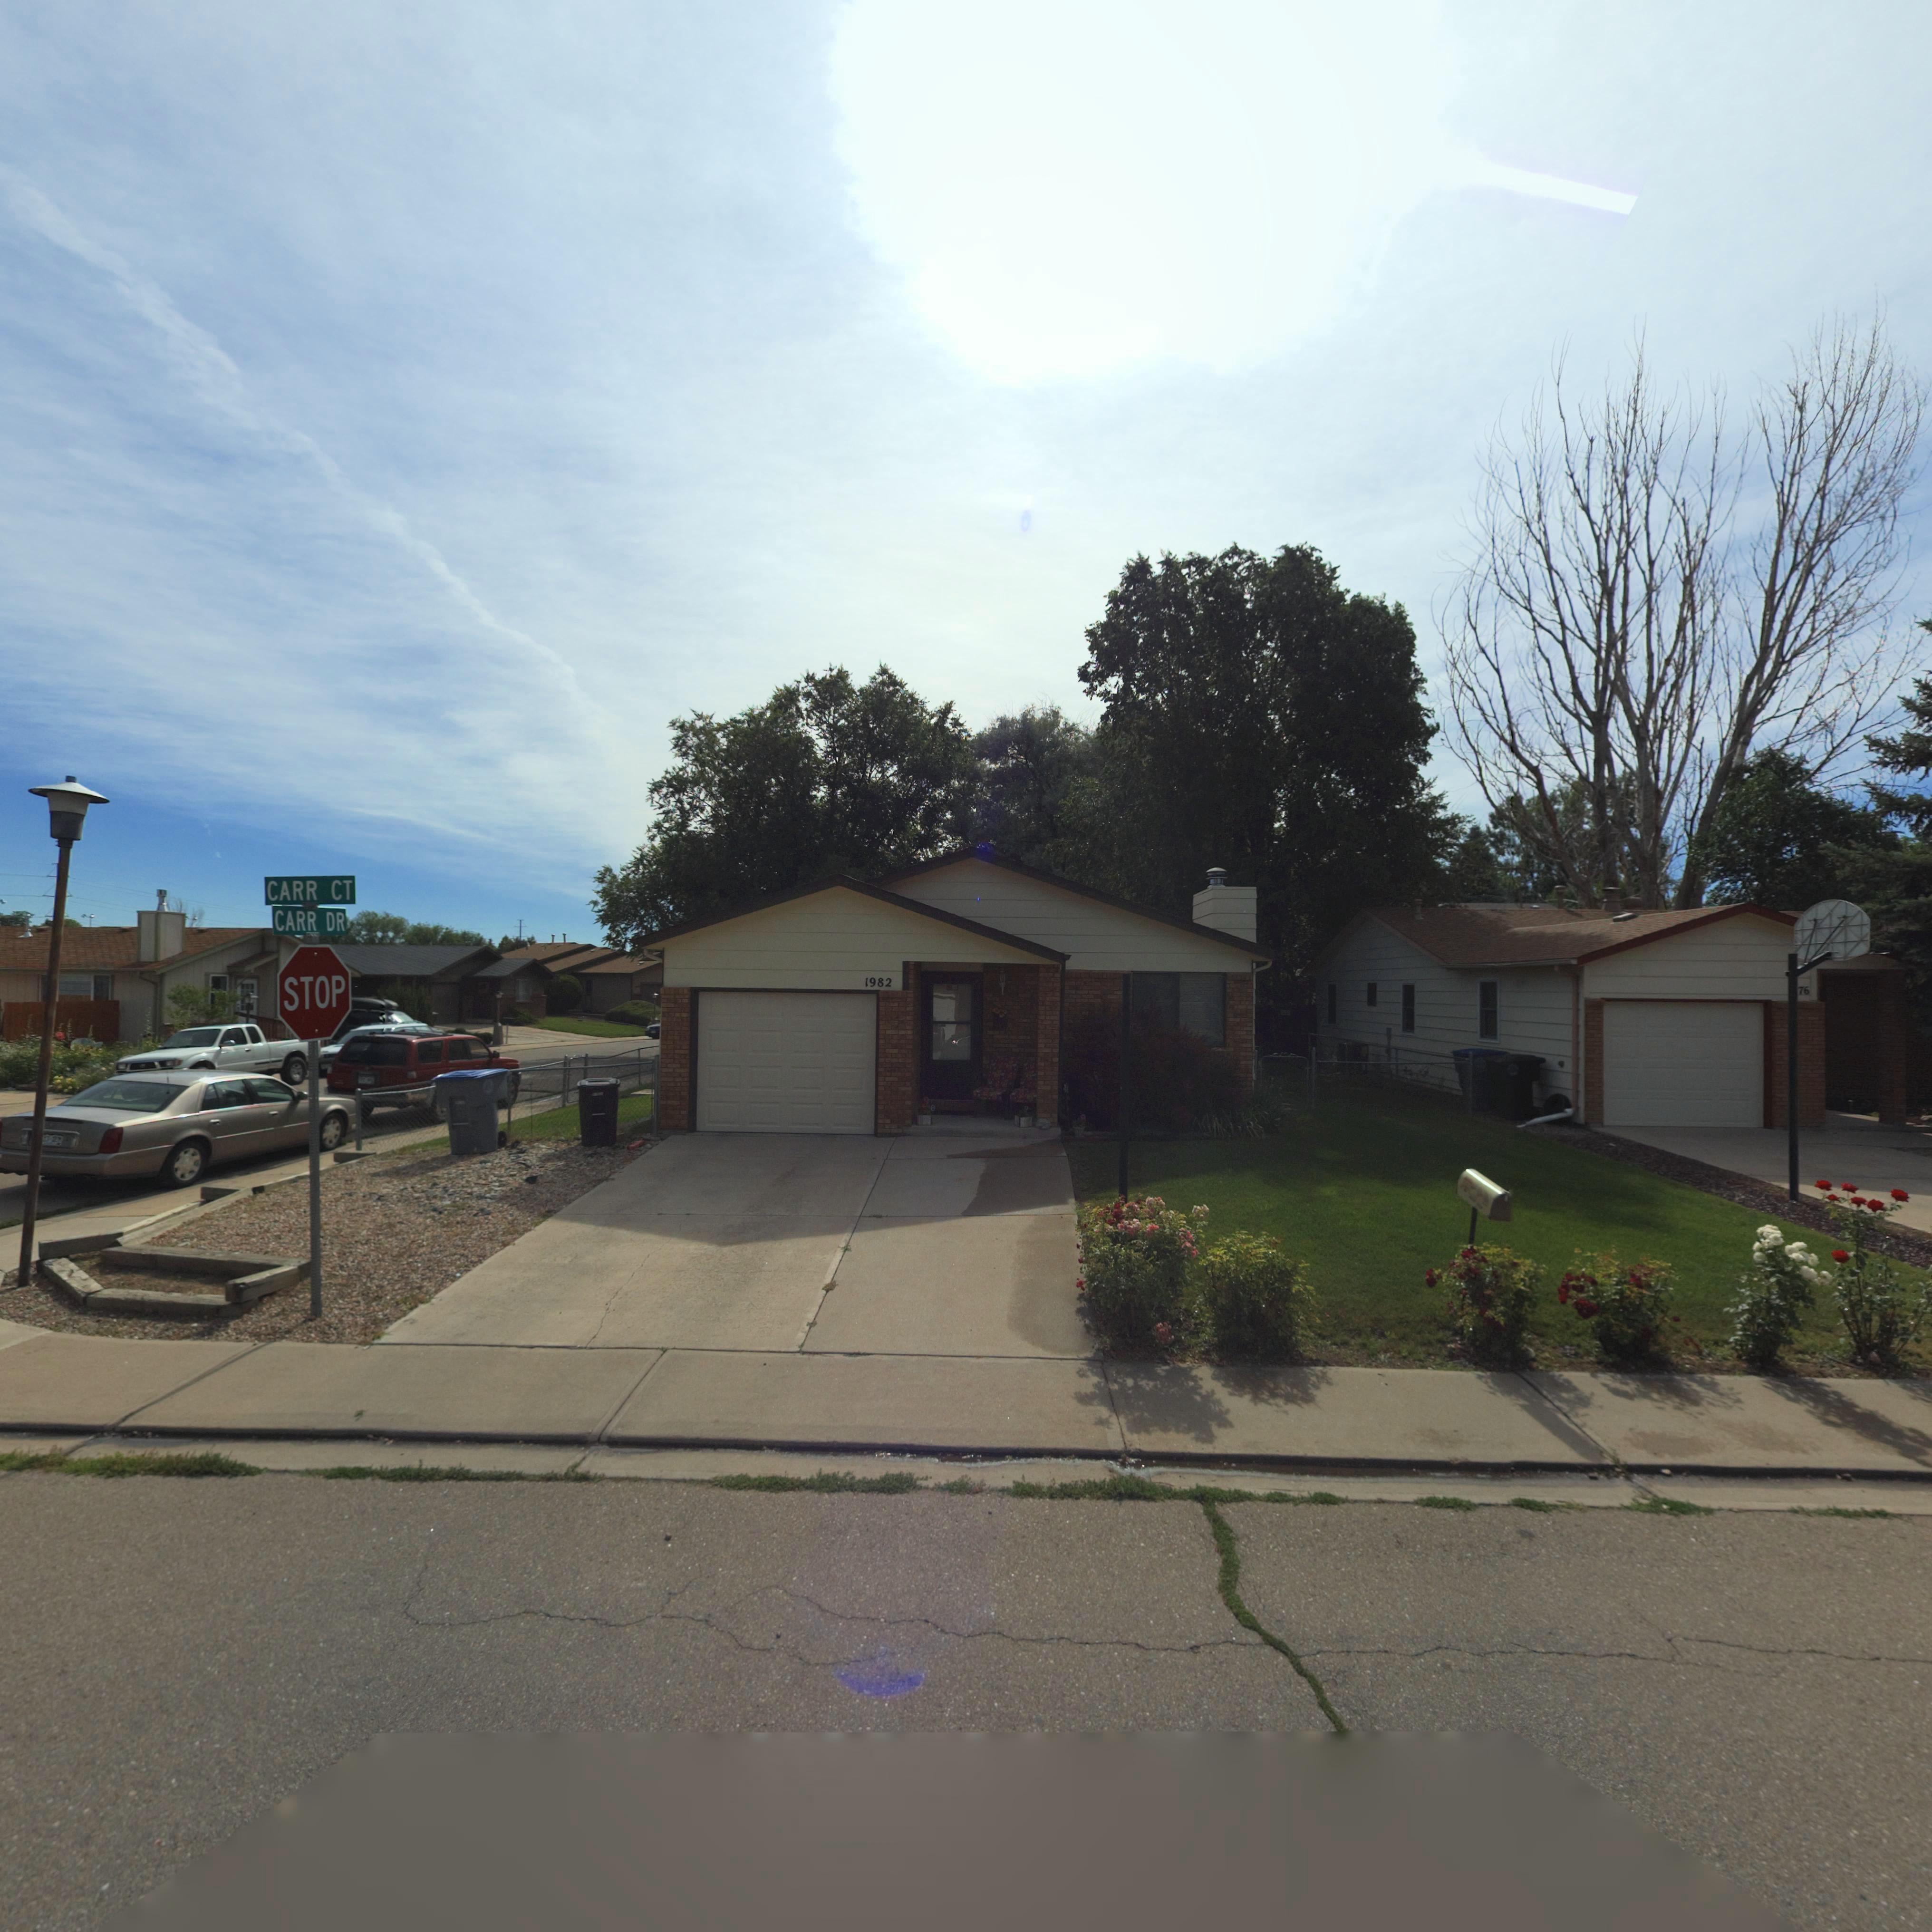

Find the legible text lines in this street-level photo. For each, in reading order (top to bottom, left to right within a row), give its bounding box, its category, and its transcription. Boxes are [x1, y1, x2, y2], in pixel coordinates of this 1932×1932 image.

[266, 879, 354, 902] StreetName: CARR CT
[274, 909, 346, 932] StreetNumber: CARR DR
[865, 977, 892, 987] StreetNumber: 1982
[1797, 985, 1810, 995] StreetNumber: 76